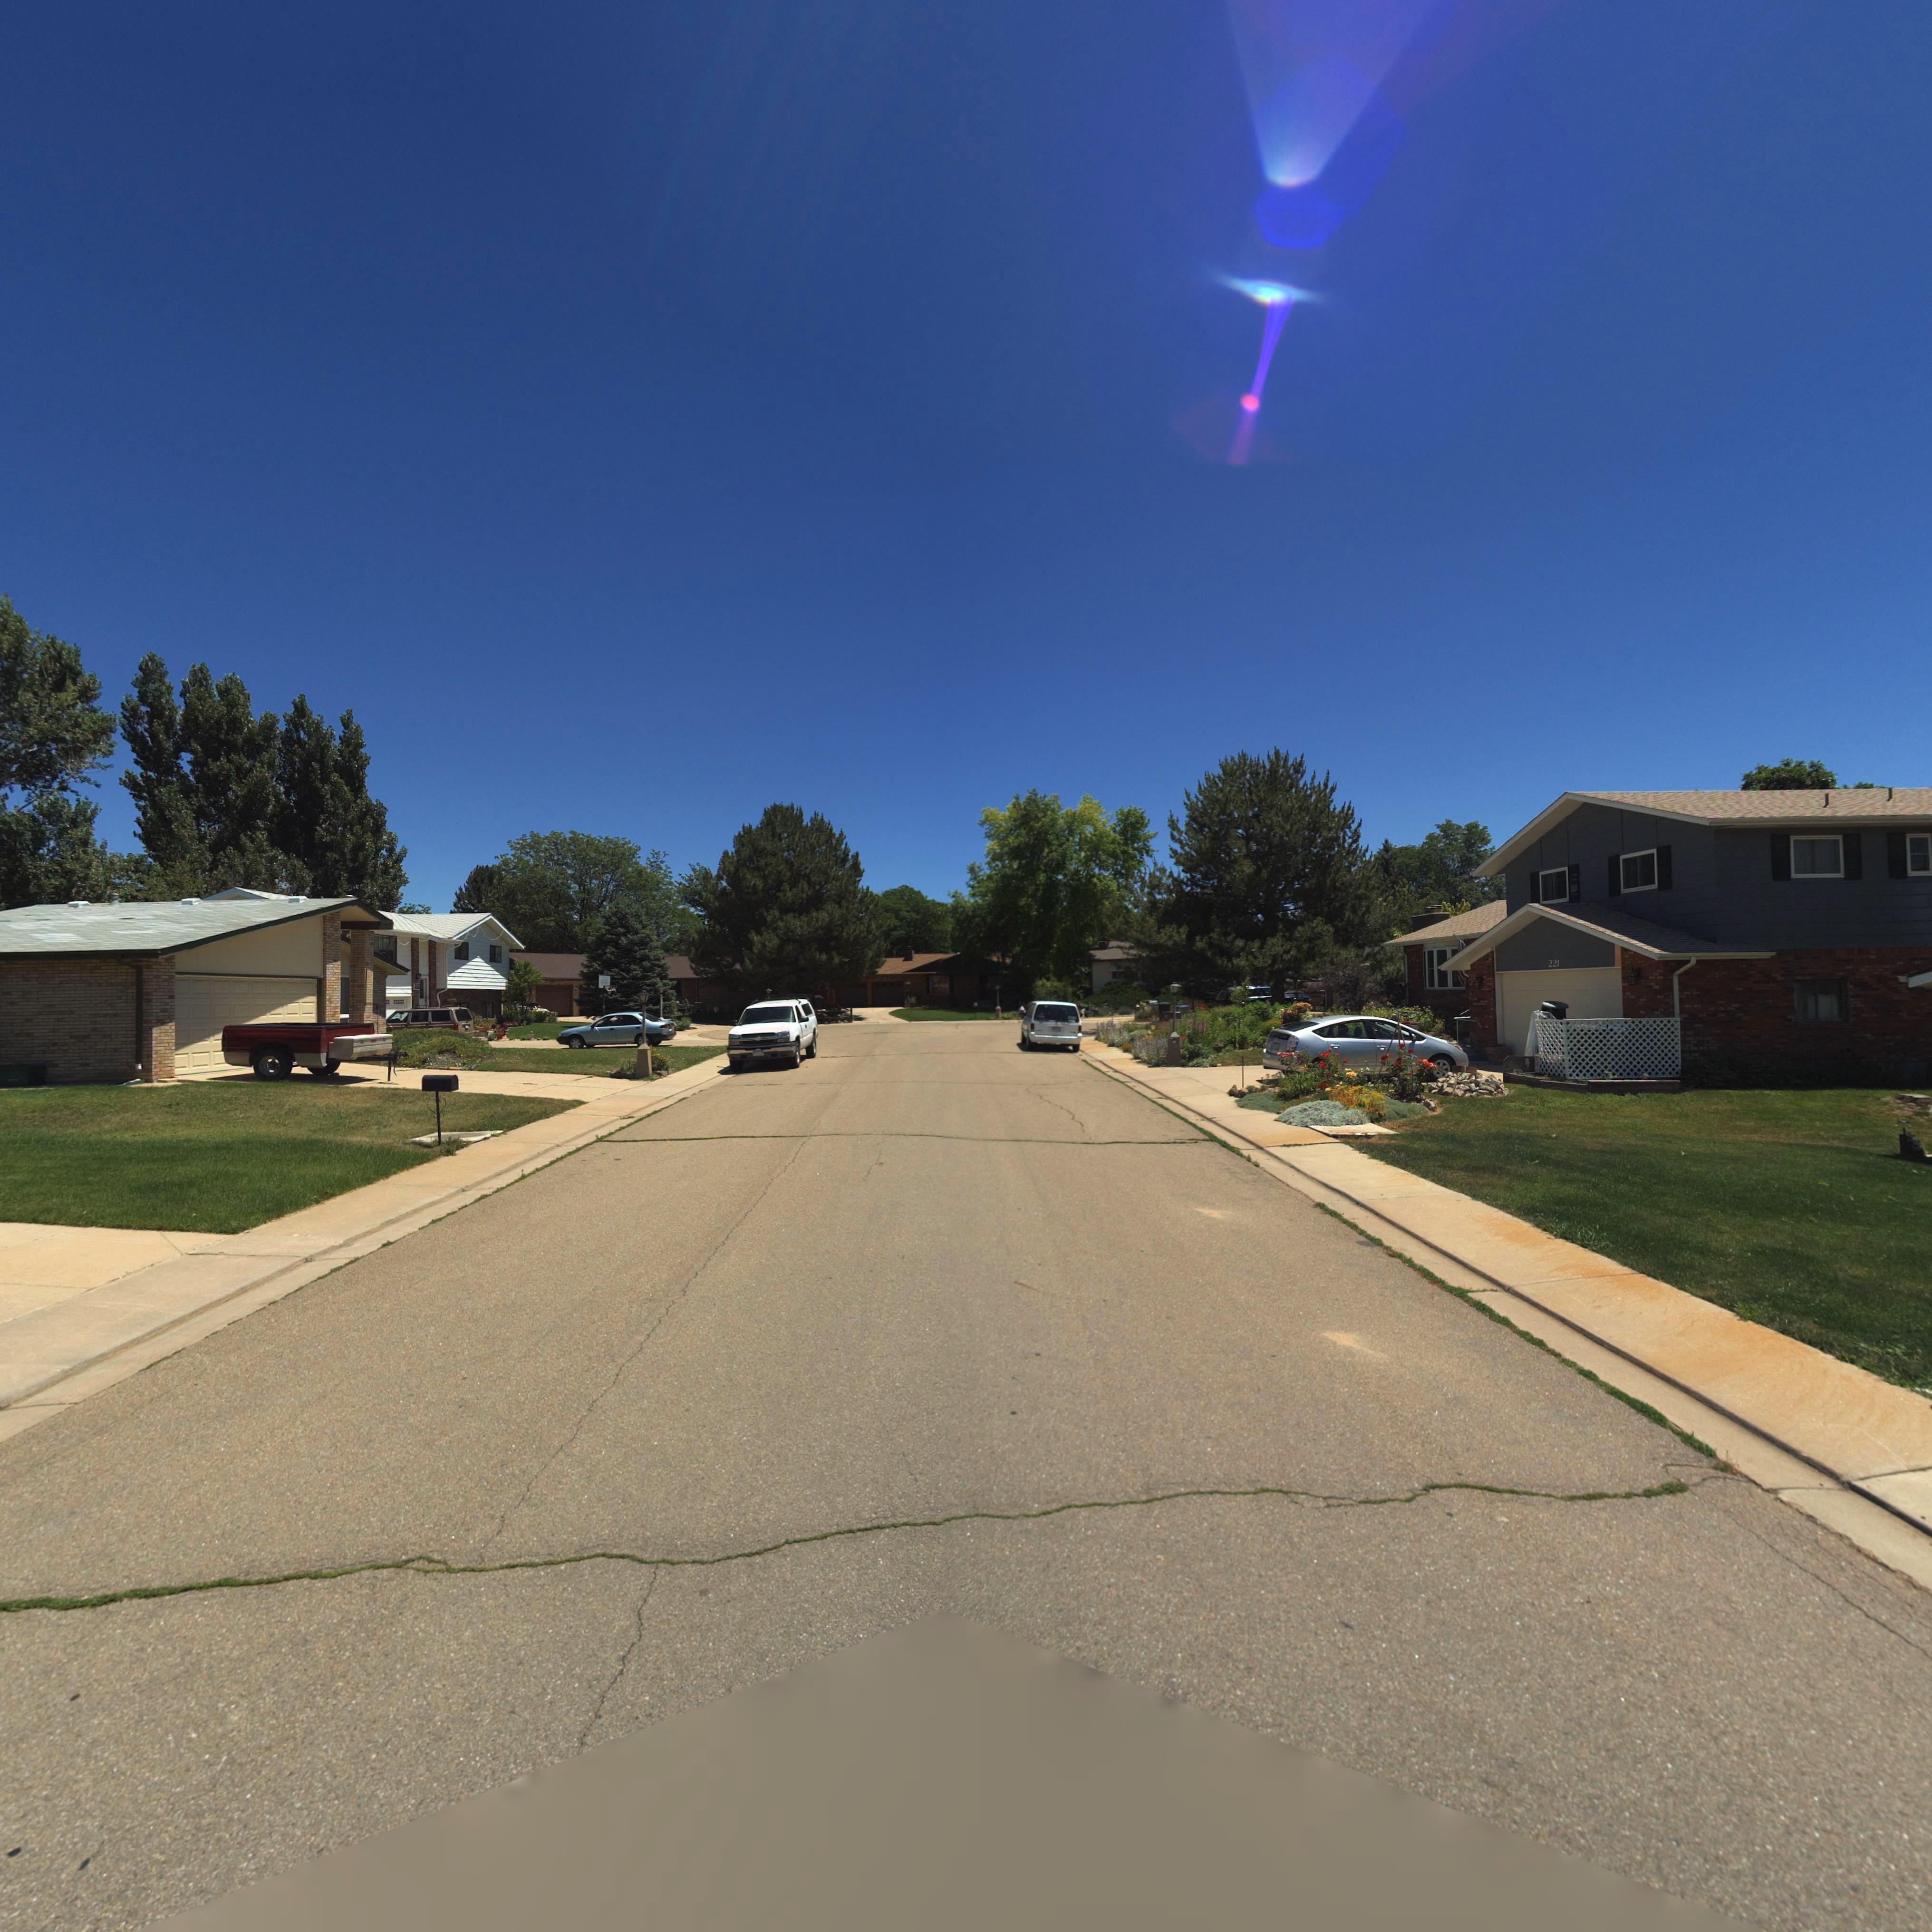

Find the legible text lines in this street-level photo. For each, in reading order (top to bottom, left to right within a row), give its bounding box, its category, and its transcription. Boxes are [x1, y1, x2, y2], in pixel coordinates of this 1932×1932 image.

[1548, 959, 1559, 967] StreetNumber: 221